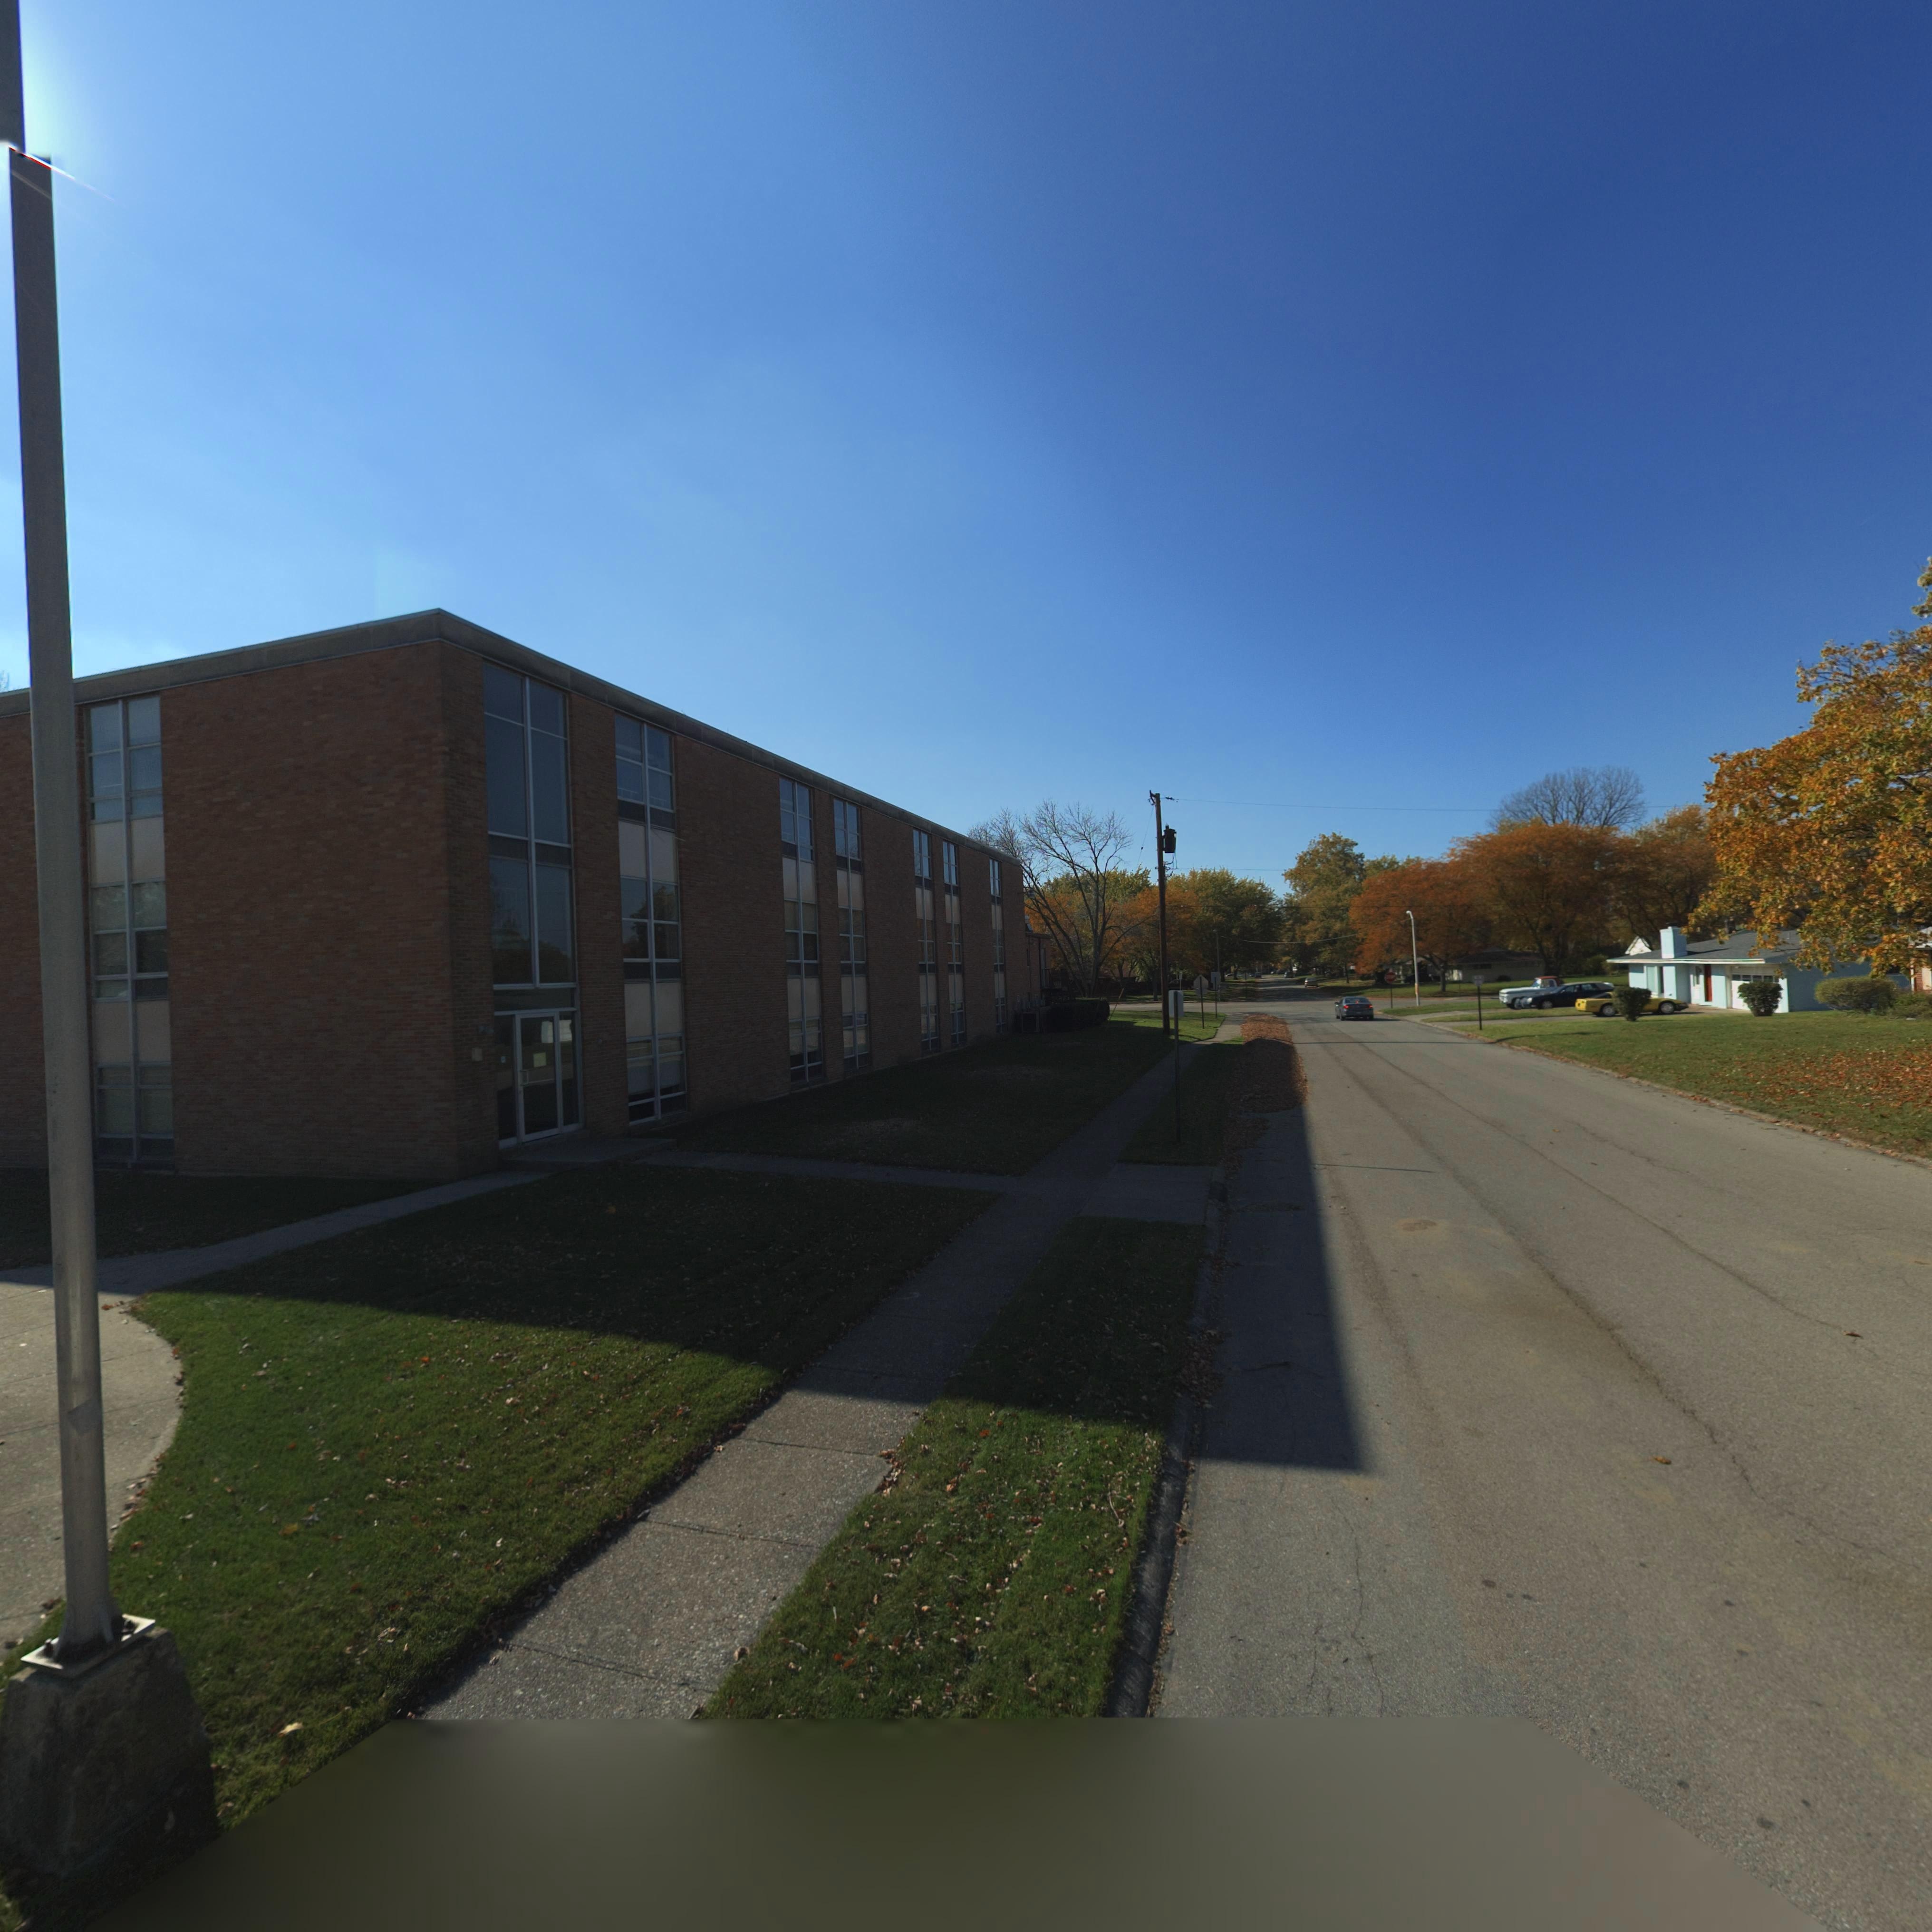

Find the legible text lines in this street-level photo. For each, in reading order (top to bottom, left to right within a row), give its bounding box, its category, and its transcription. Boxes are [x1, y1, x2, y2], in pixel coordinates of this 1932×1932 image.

[1385, 975, 1396, 979] None: STO*